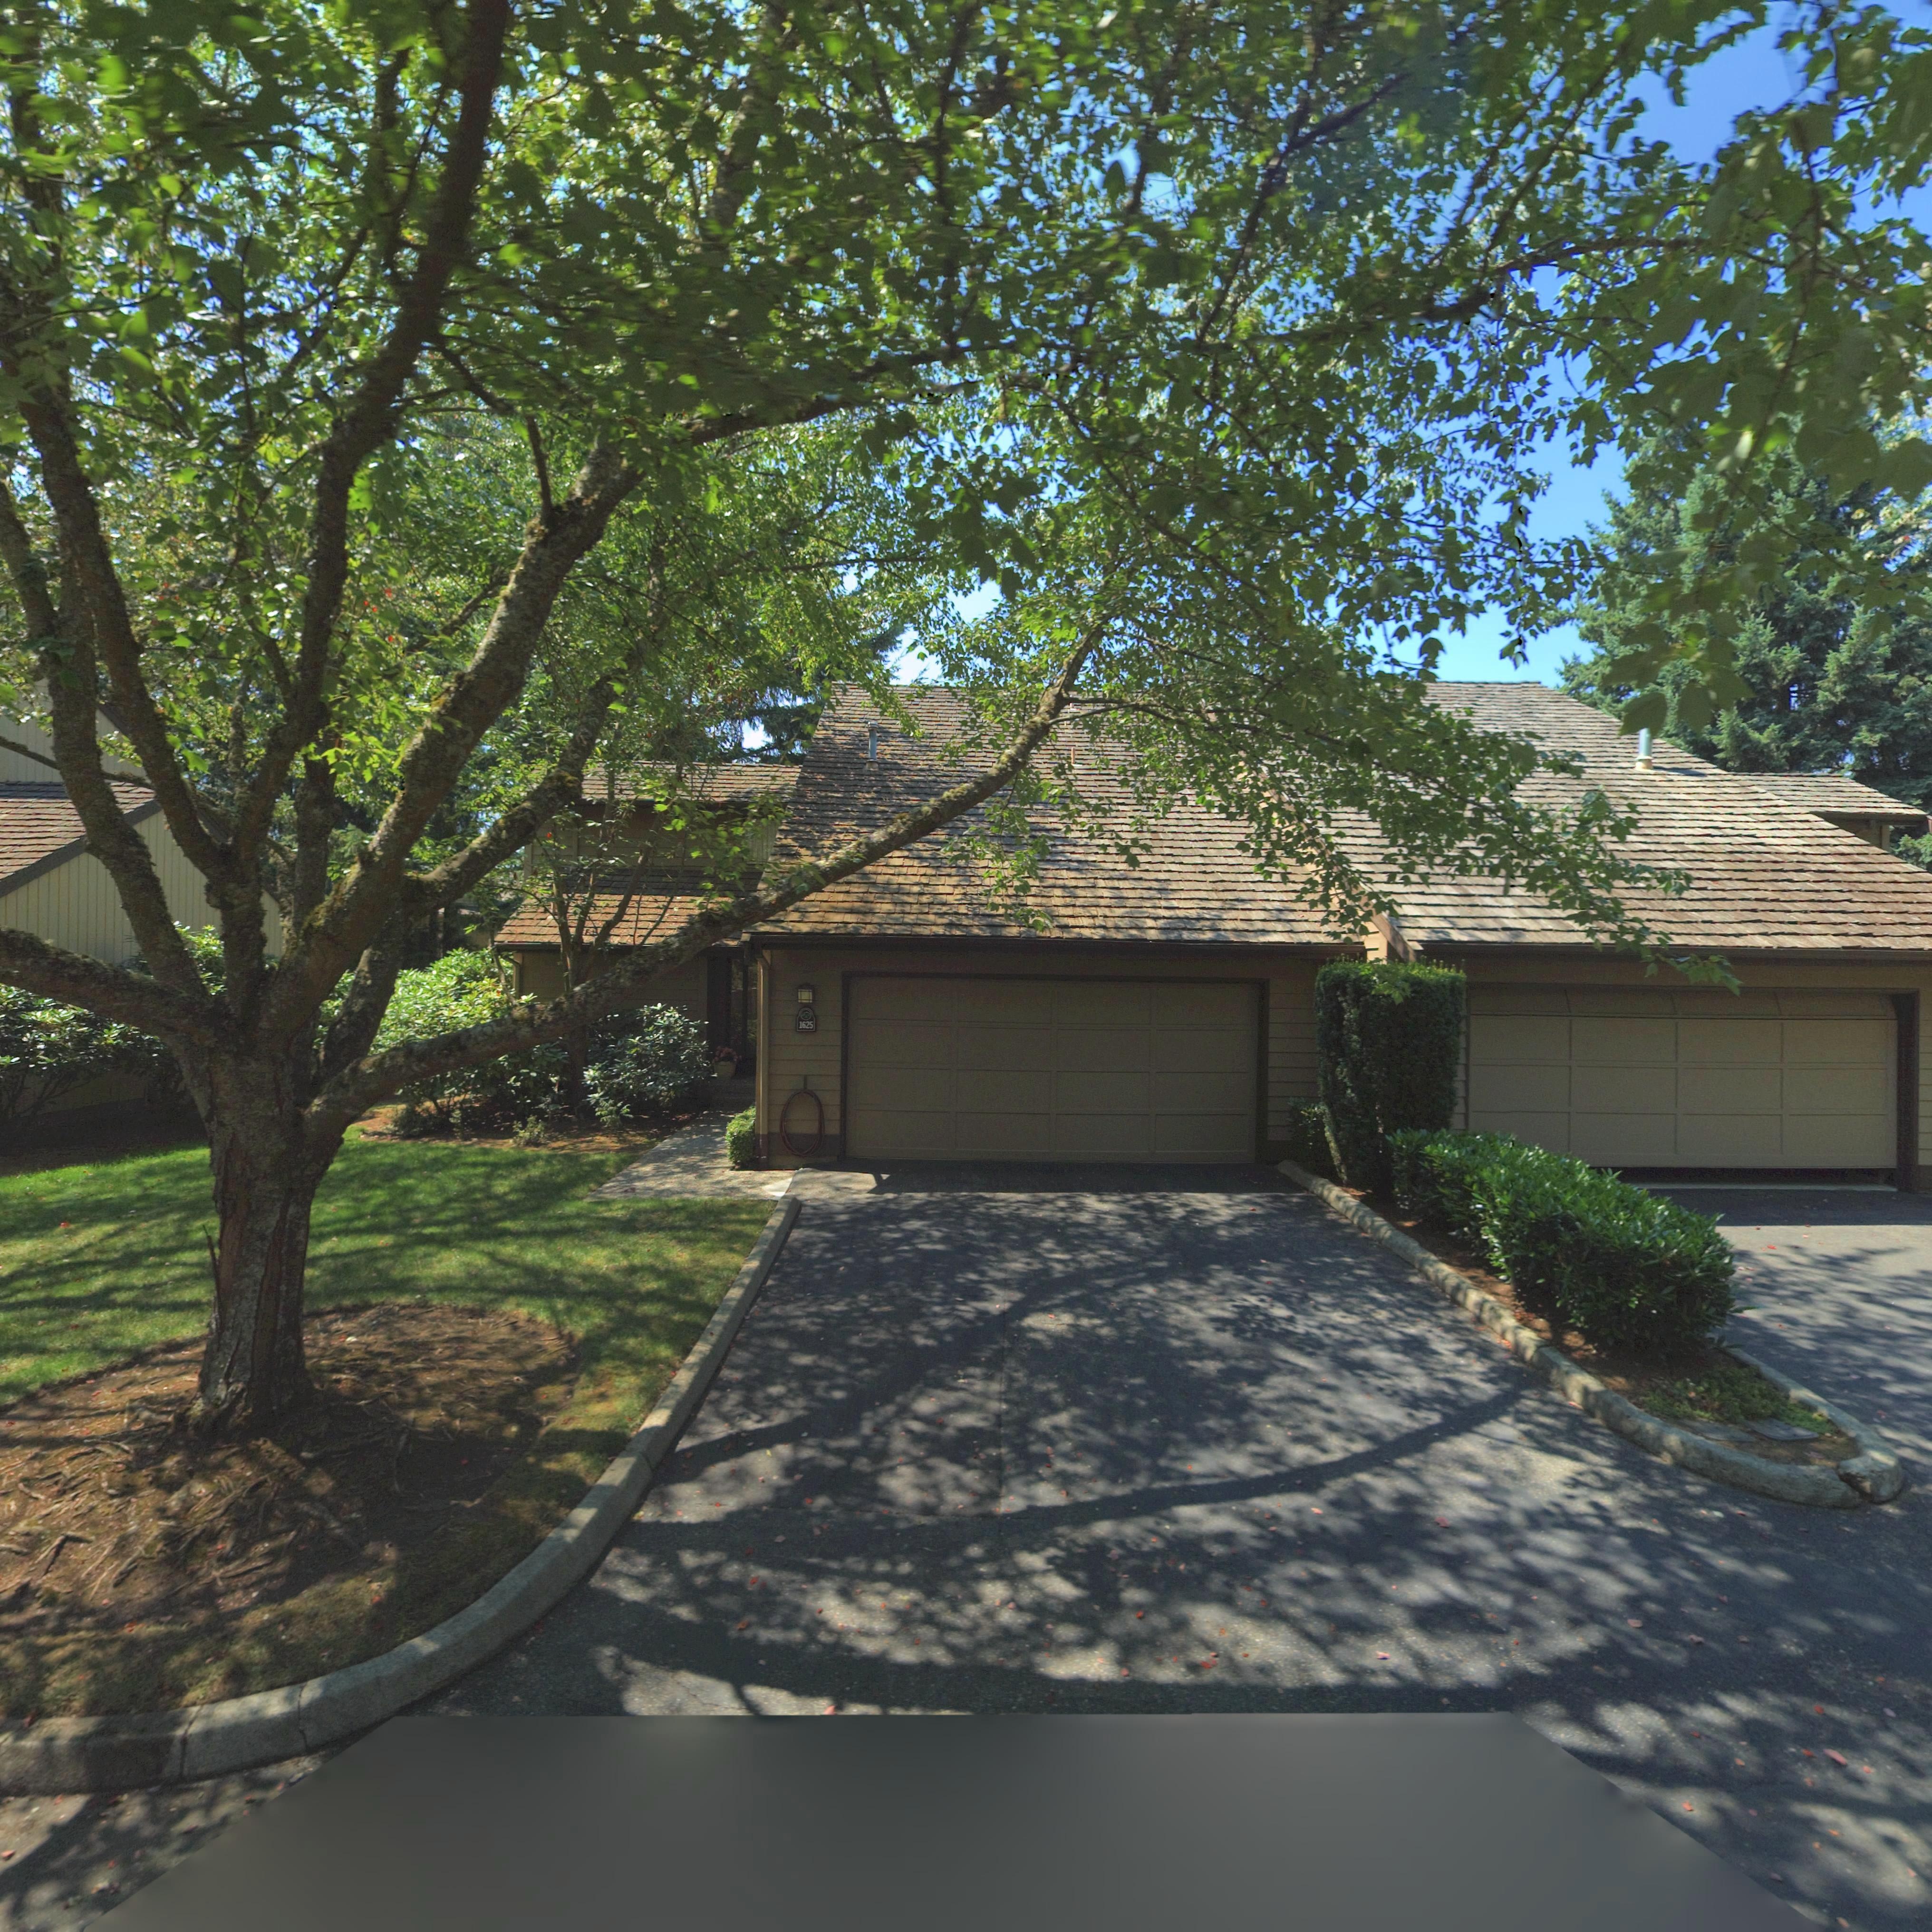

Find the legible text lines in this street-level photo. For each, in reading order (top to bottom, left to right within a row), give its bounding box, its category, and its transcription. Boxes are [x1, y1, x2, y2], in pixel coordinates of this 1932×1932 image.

[799, 1021, 813, 1028] StreetNumber: 1625